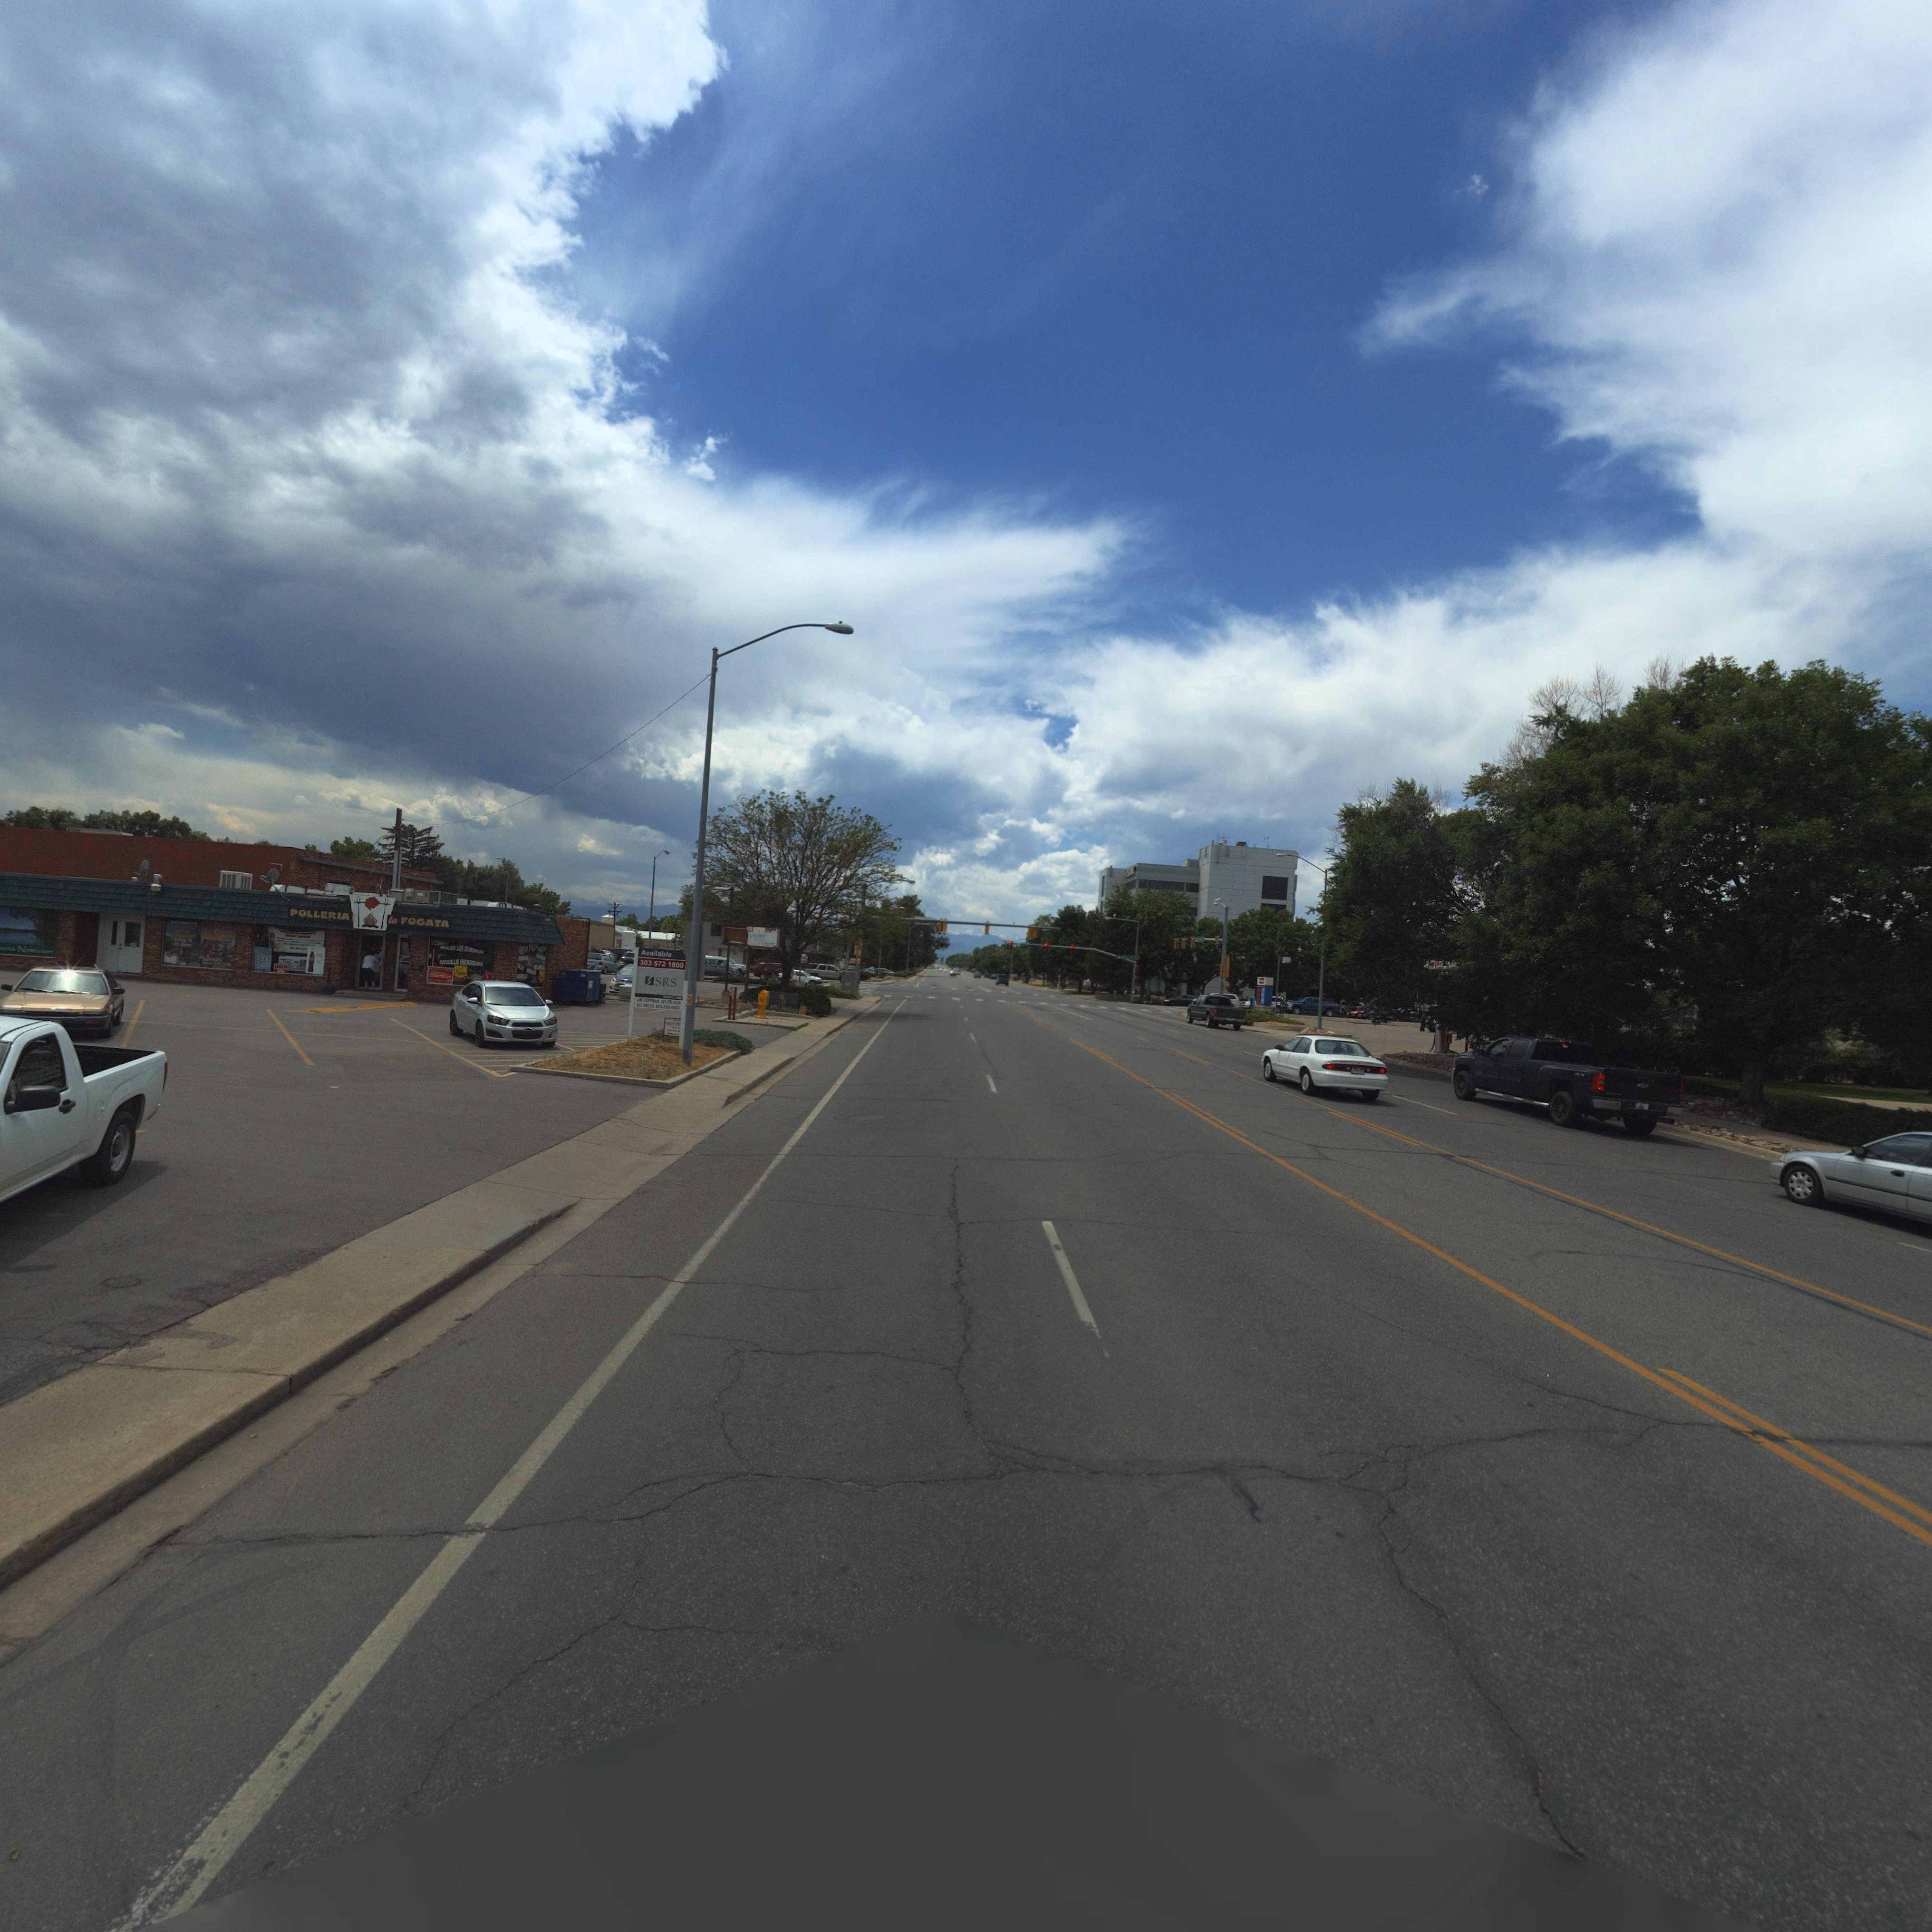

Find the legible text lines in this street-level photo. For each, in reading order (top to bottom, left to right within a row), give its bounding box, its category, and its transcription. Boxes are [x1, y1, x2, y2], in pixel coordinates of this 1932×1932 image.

[289, 908, 350, 921] BusinessName: POLLERIA
[387, 915, 449, 928] BusinessName: la FOGATA